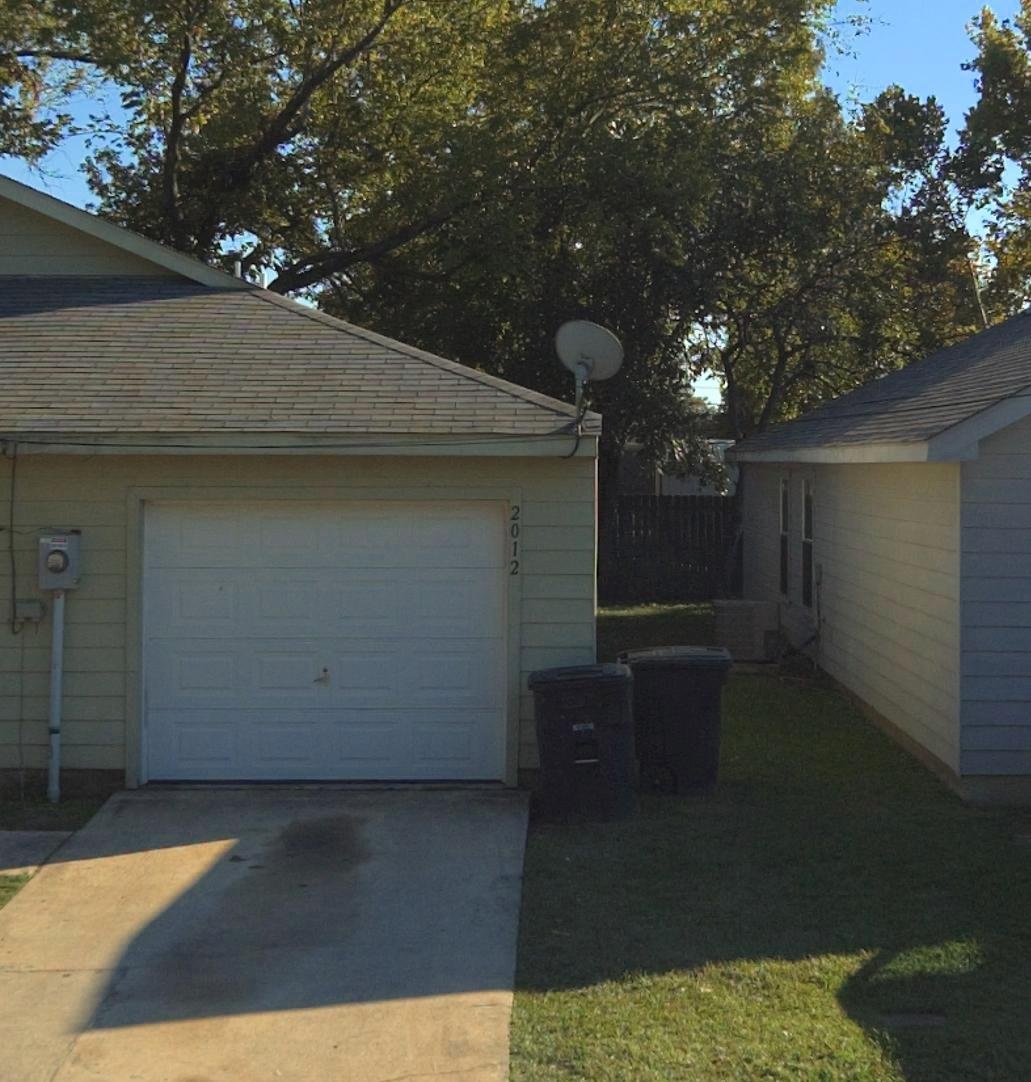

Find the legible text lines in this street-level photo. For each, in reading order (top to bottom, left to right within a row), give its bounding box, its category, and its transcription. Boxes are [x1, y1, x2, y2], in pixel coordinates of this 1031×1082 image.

[508, 503, 522, 577] StreetNumber: 2012